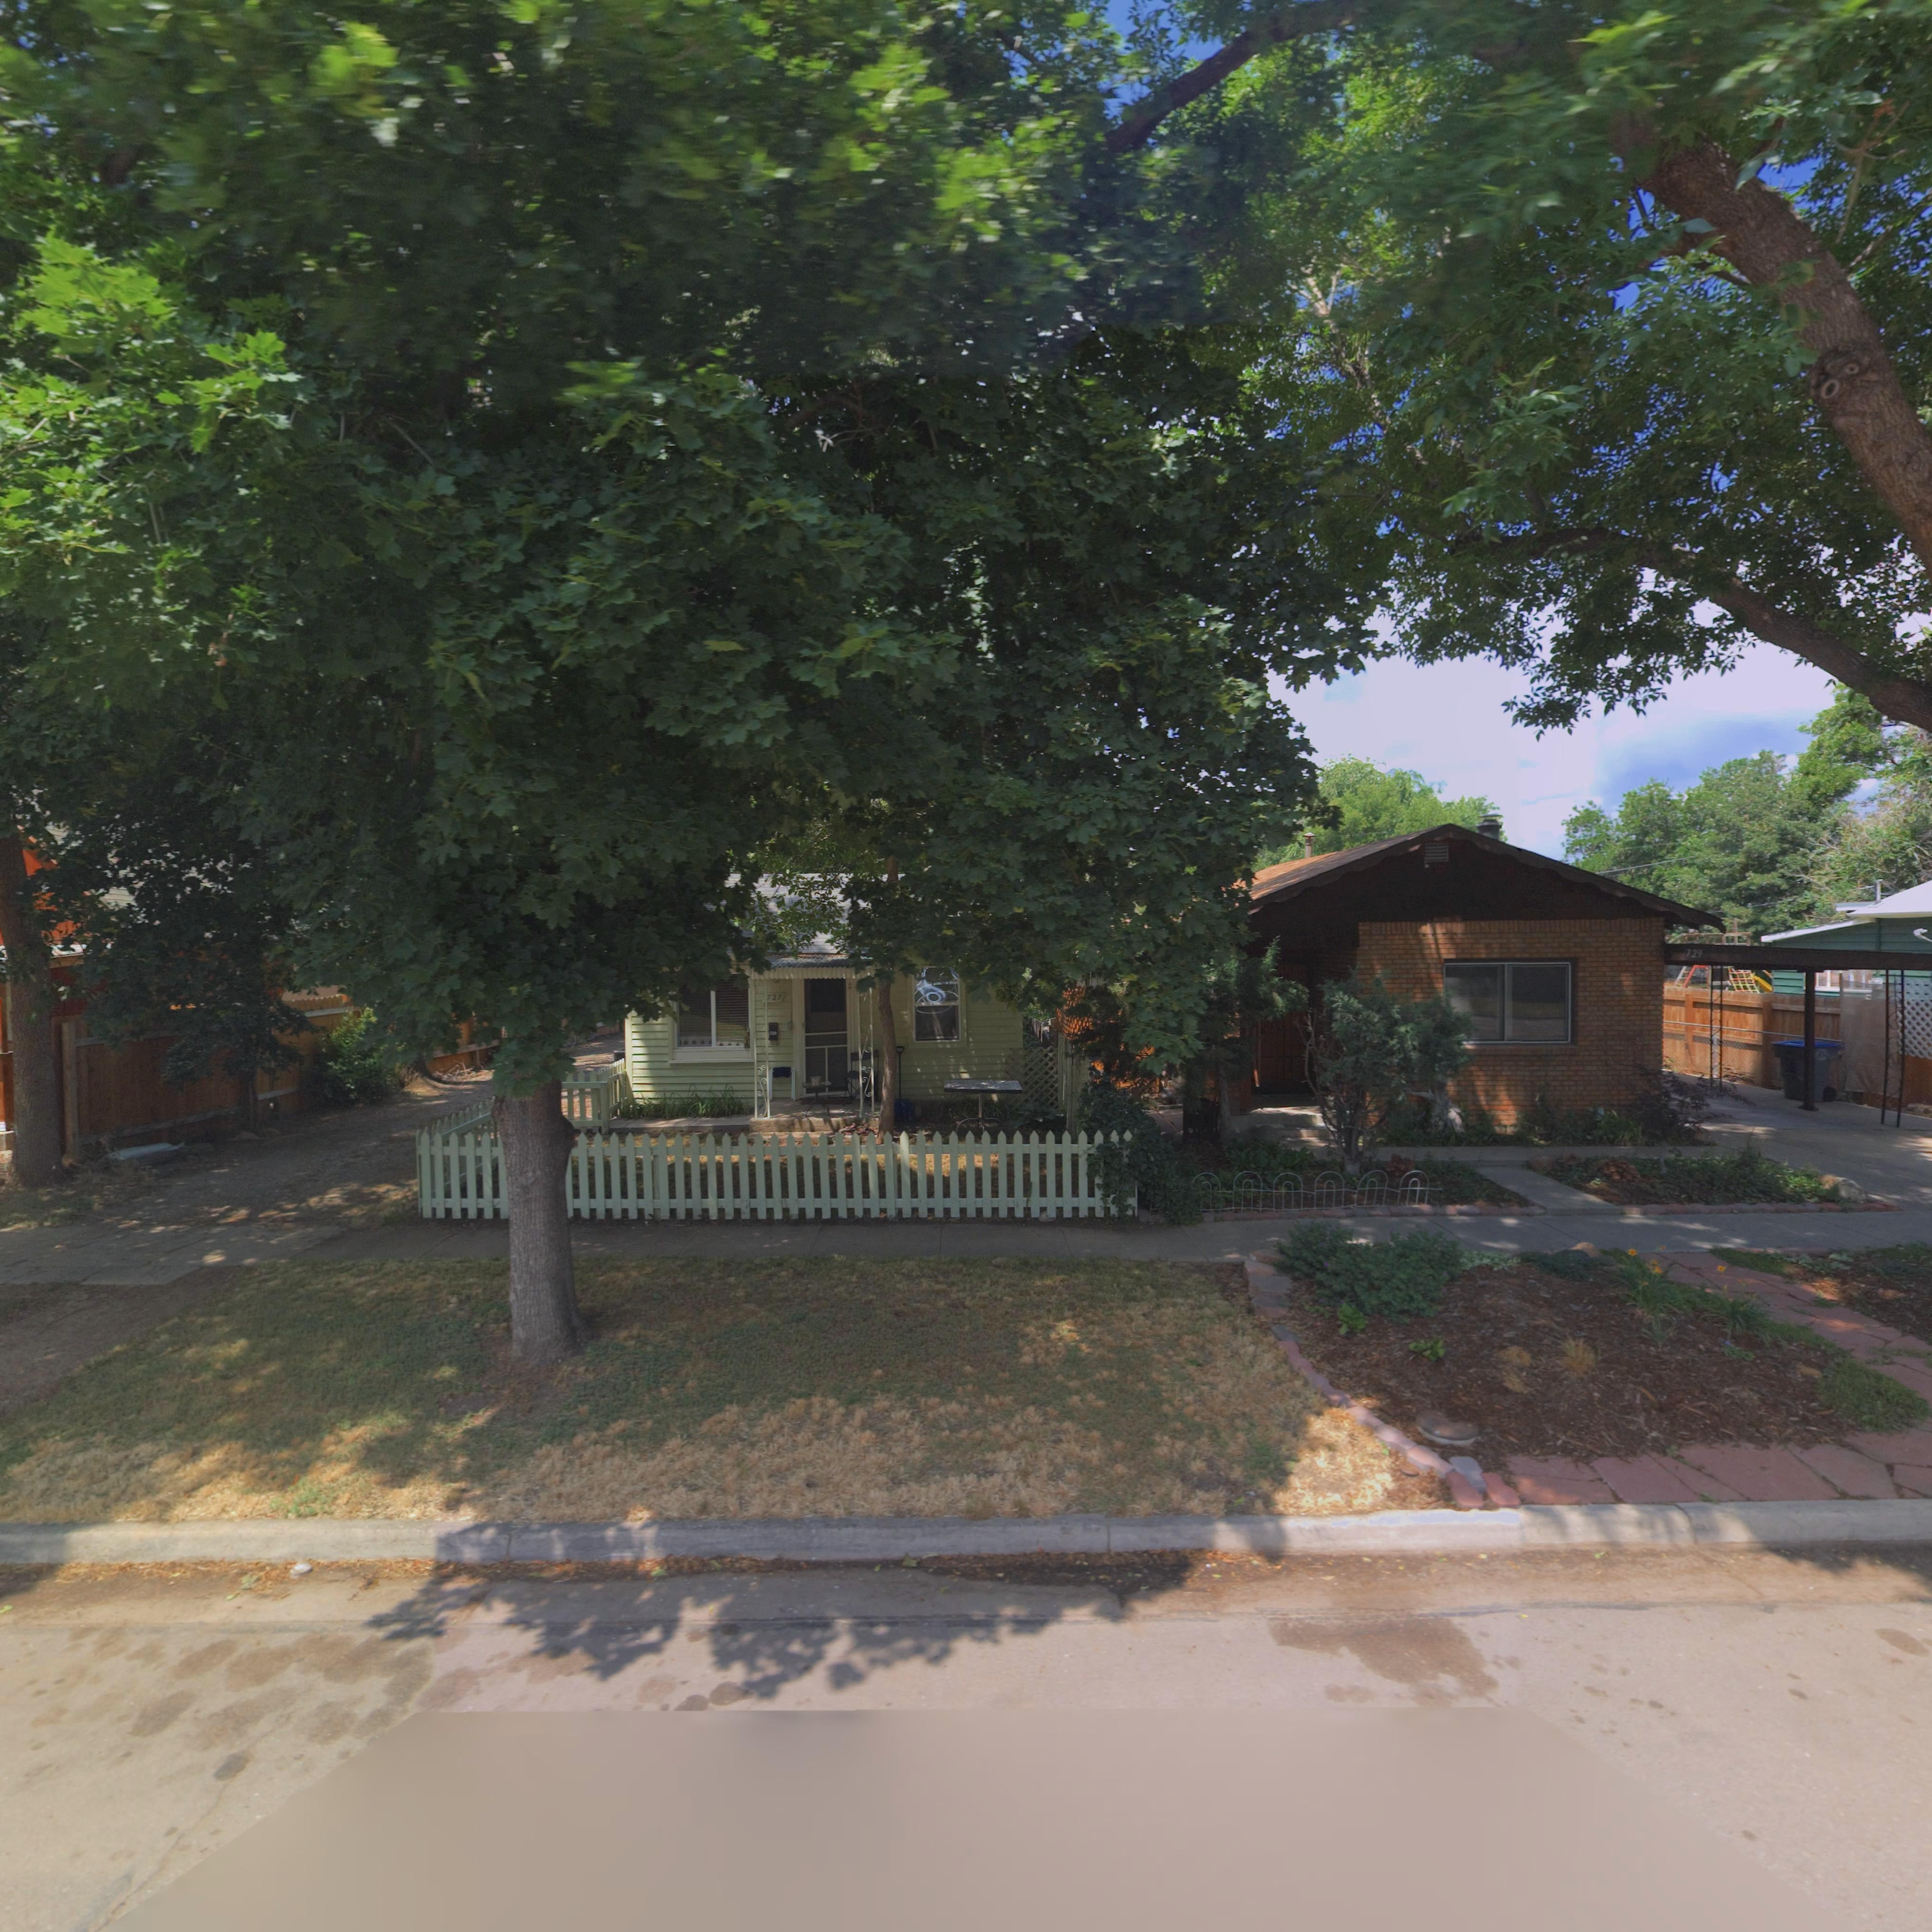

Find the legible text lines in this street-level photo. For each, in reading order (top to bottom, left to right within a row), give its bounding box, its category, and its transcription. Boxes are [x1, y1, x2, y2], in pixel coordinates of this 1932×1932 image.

[1685, 948, 1703, 958] StreetNumber: 729
[766, 994, 782, 1001] StreetNumber: 727